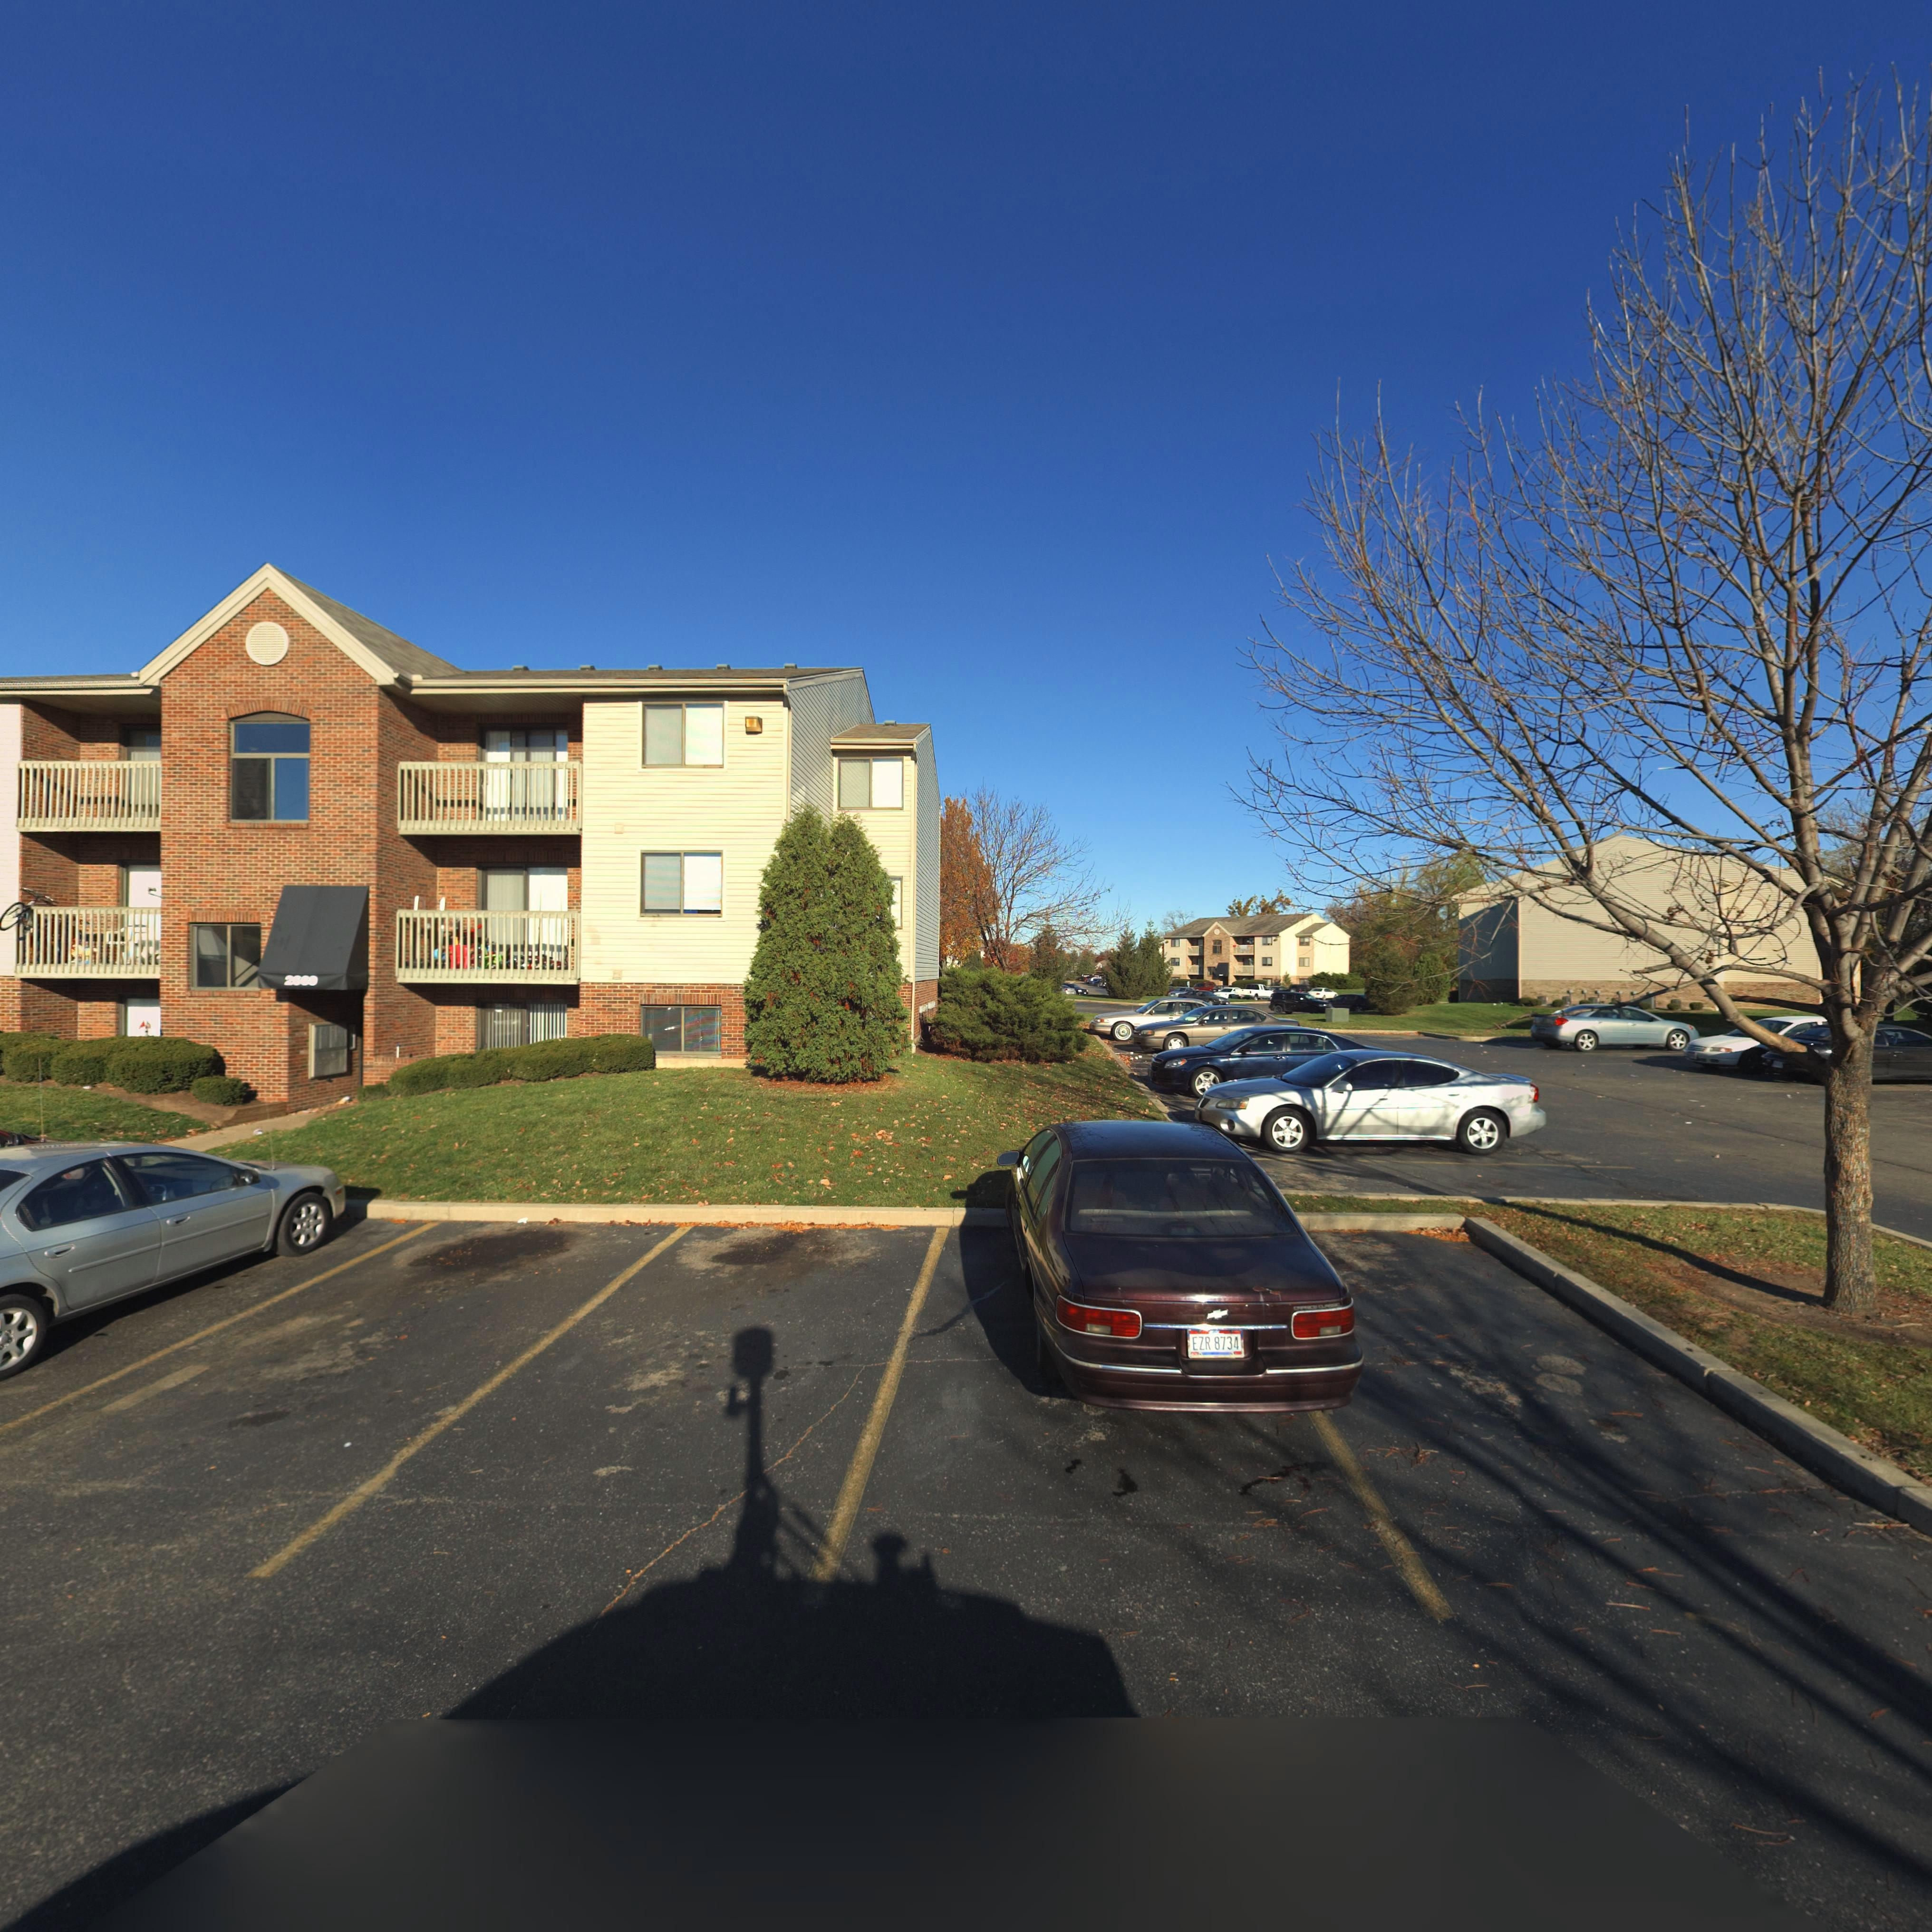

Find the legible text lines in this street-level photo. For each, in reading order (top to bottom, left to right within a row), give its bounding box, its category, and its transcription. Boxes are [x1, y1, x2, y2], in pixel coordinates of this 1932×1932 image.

[283, 975, 319, 986] StreetNumber: 2669